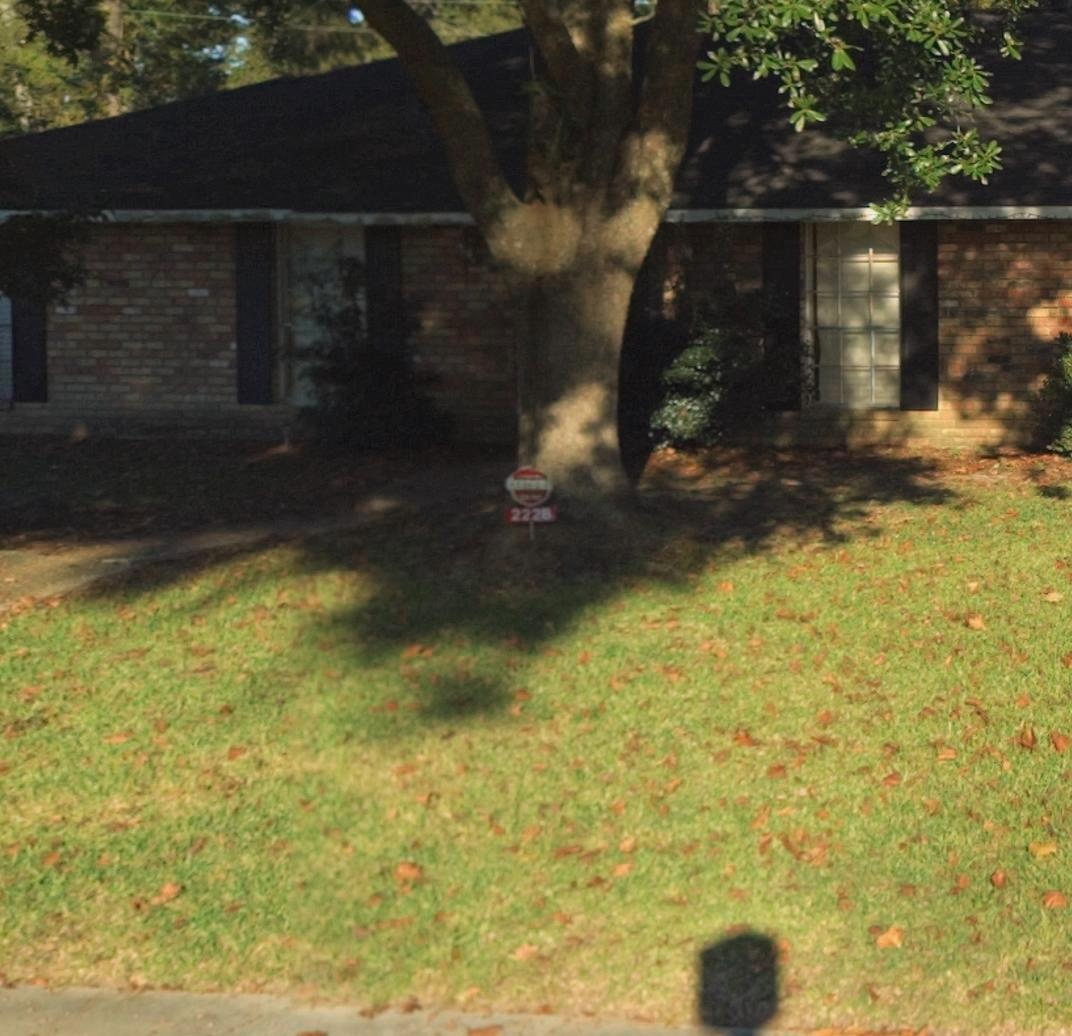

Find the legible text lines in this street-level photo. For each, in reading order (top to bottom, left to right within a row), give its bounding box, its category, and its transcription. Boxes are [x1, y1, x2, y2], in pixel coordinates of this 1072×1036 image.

[510, 507, 553, 522] StreetNumber: 2228